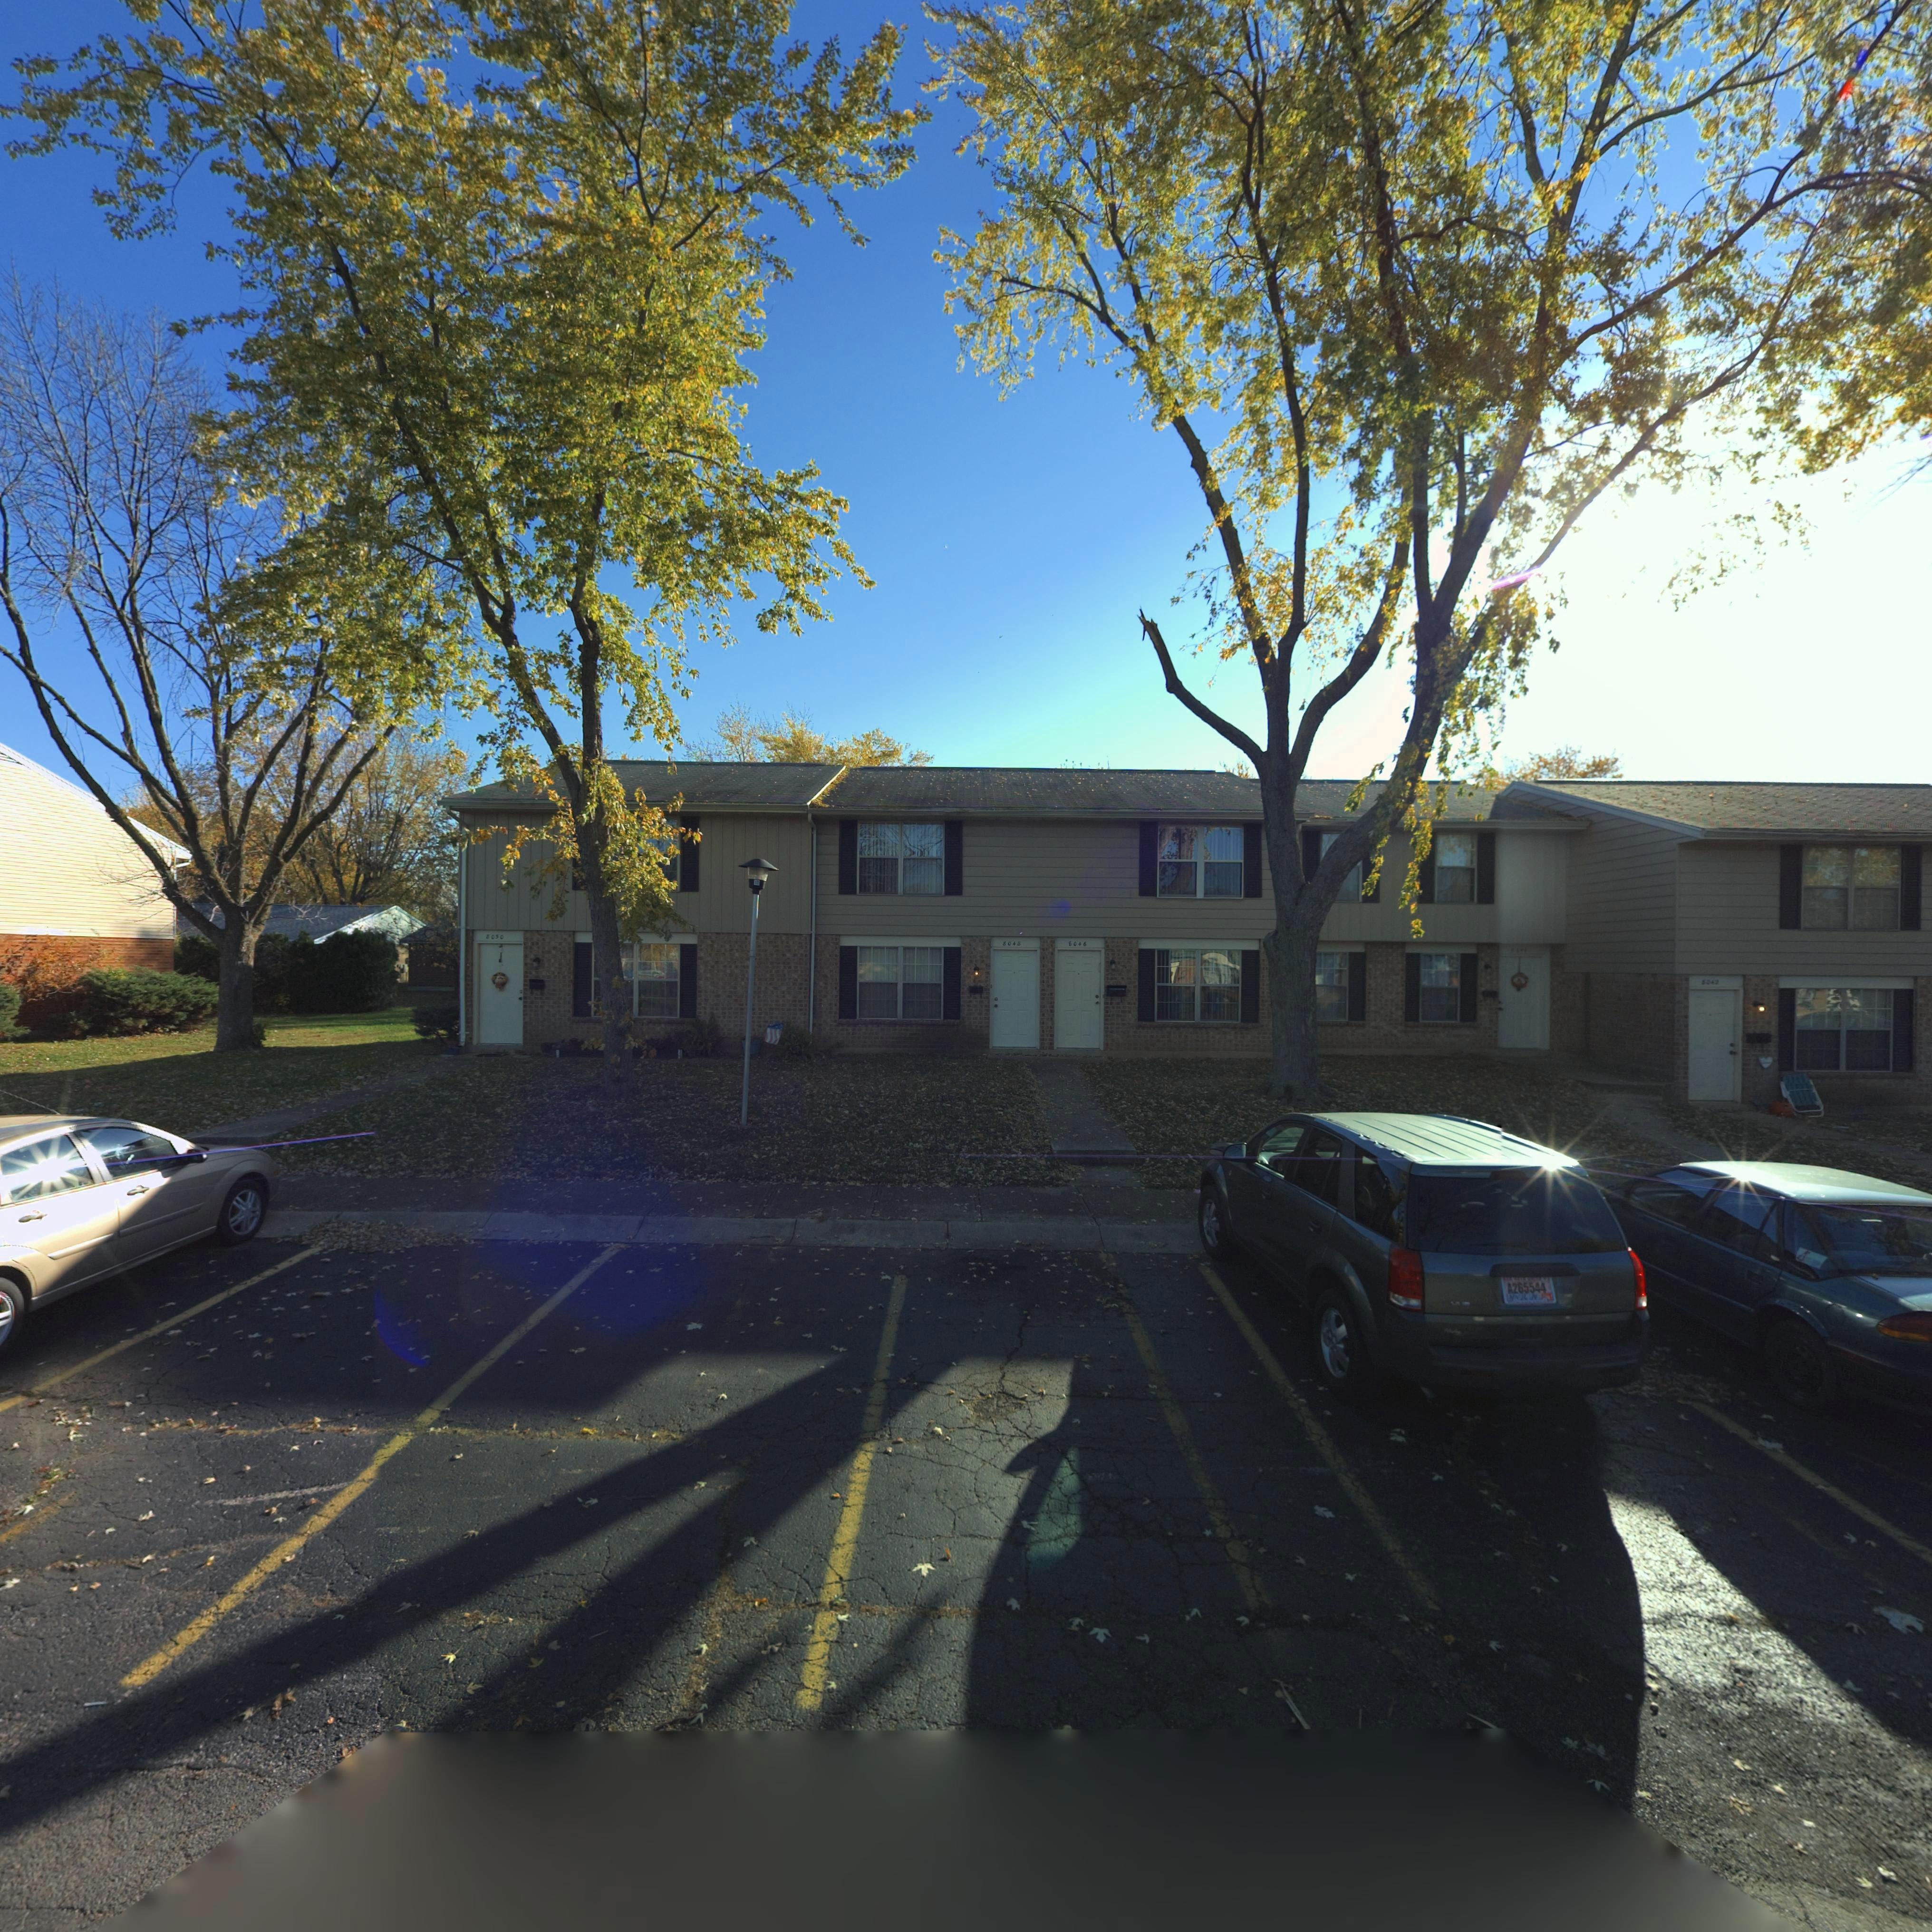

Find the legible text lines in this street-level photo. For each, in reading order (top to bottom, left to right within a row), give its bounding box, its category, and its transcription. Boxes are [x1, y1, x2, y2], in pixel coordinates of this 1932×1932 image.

[485, 934, 504, 940] StreetNumber: 8050
[1002, 940, 1021, 946] StreetNumber: 8048
[1068, 940, 1087, 947] StreetNumber: 8046
[1519, 947, 1524, 953] StreetNumber: 4
[1701, 978, 1719, 985] StreetNumber: 8042